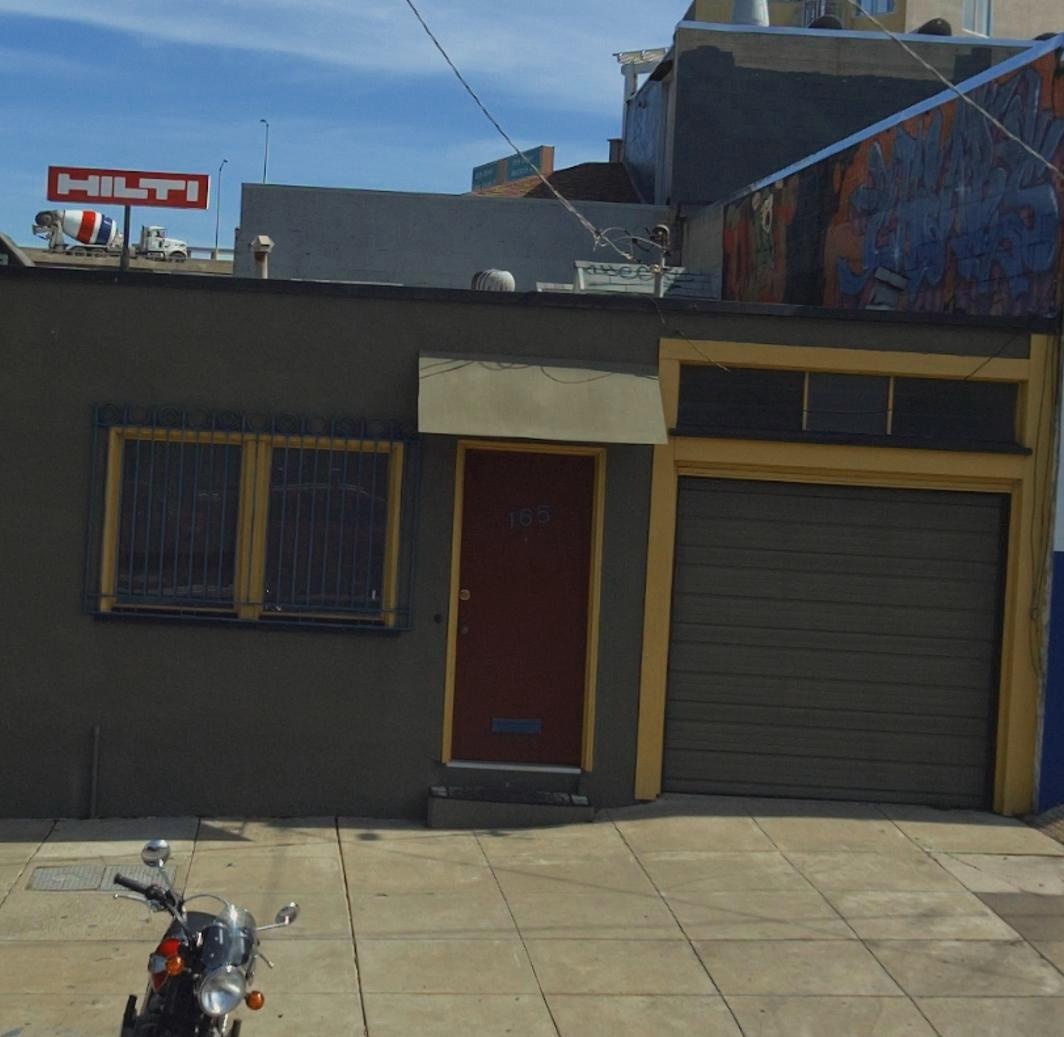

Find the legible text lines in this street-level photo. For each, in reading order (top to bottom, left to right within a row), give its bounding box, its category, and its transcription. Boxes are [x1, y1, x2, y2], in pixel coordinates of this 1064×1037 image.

[55, 170, 200, 203] None: HILTI
[507, 501, 553, 533] StreetNumber: 165